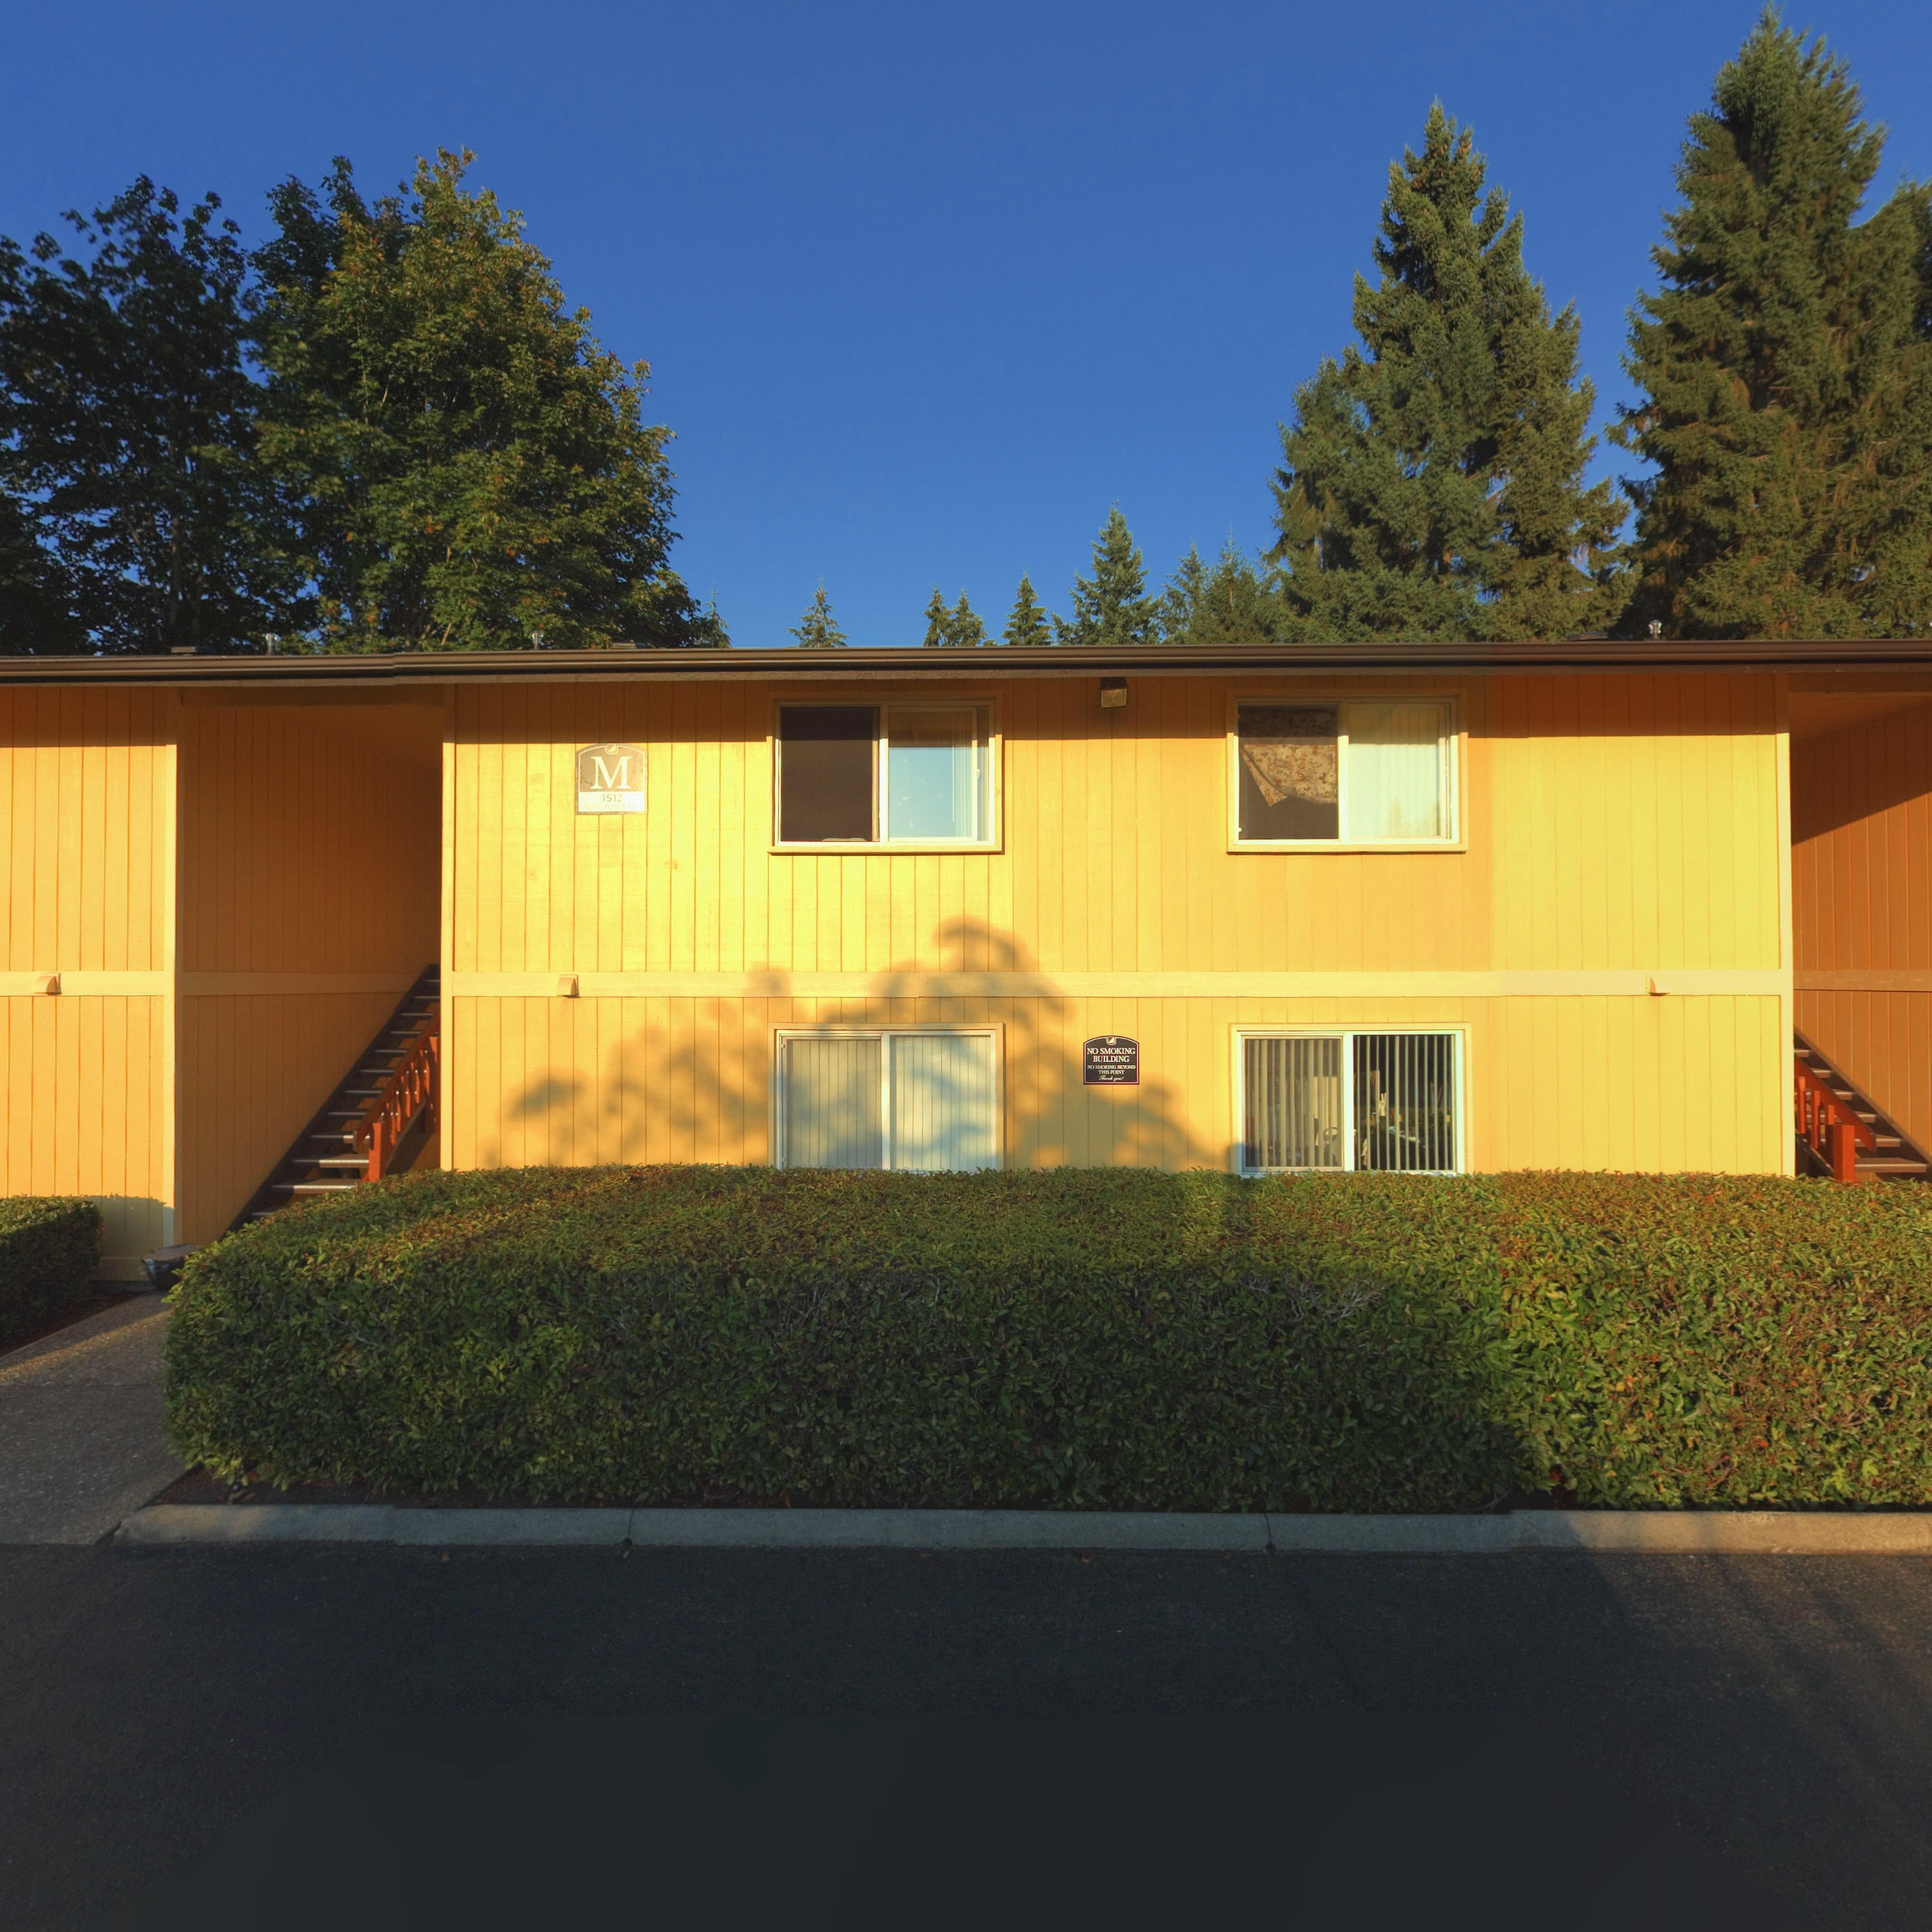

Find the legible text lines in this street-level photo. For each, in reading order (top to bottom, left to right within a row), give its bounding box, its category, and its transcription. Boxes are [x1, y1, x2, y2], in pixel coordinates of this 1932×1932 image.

[601, 793, 623, 802] StreetNumber: 1512